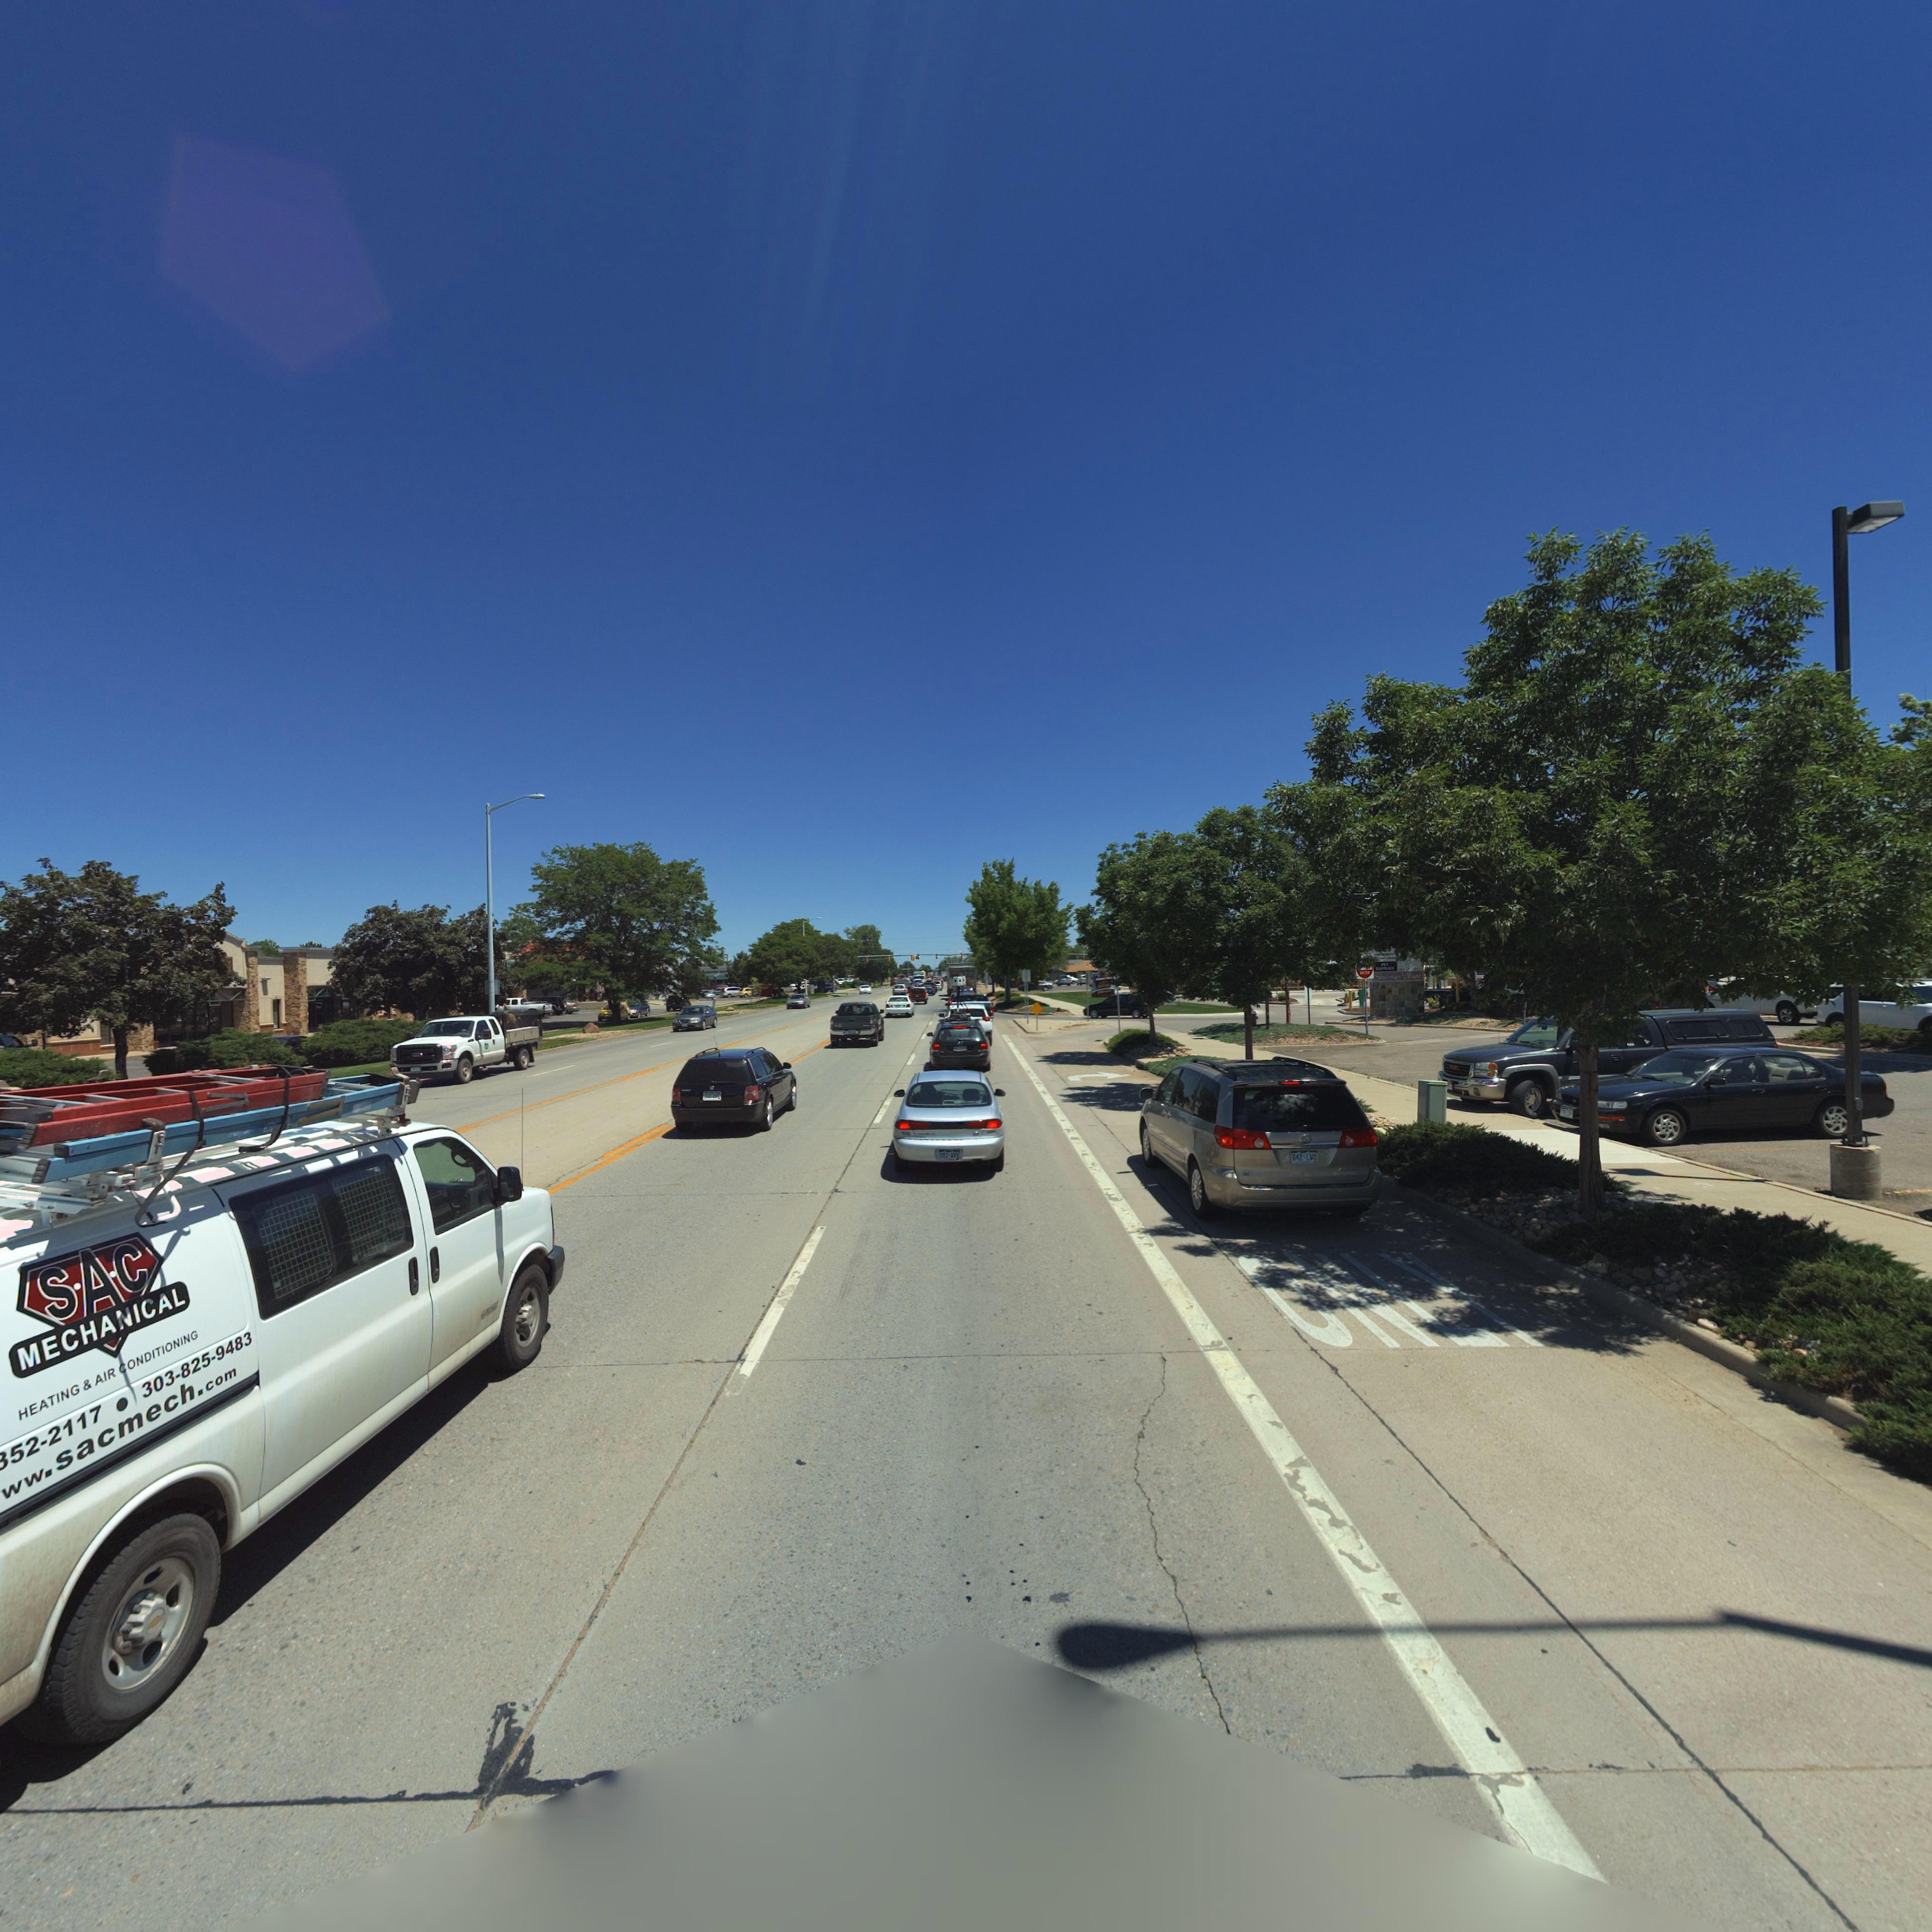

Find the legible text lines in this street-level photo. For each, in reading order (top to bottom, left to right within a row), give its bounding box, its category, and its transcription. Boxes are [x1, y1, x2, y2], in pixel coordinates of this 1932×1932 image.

[1381, 963, 1389, 966] BusinessName: PET
[1375, 966, 1394, 970] BusinessName: SUPPLIES